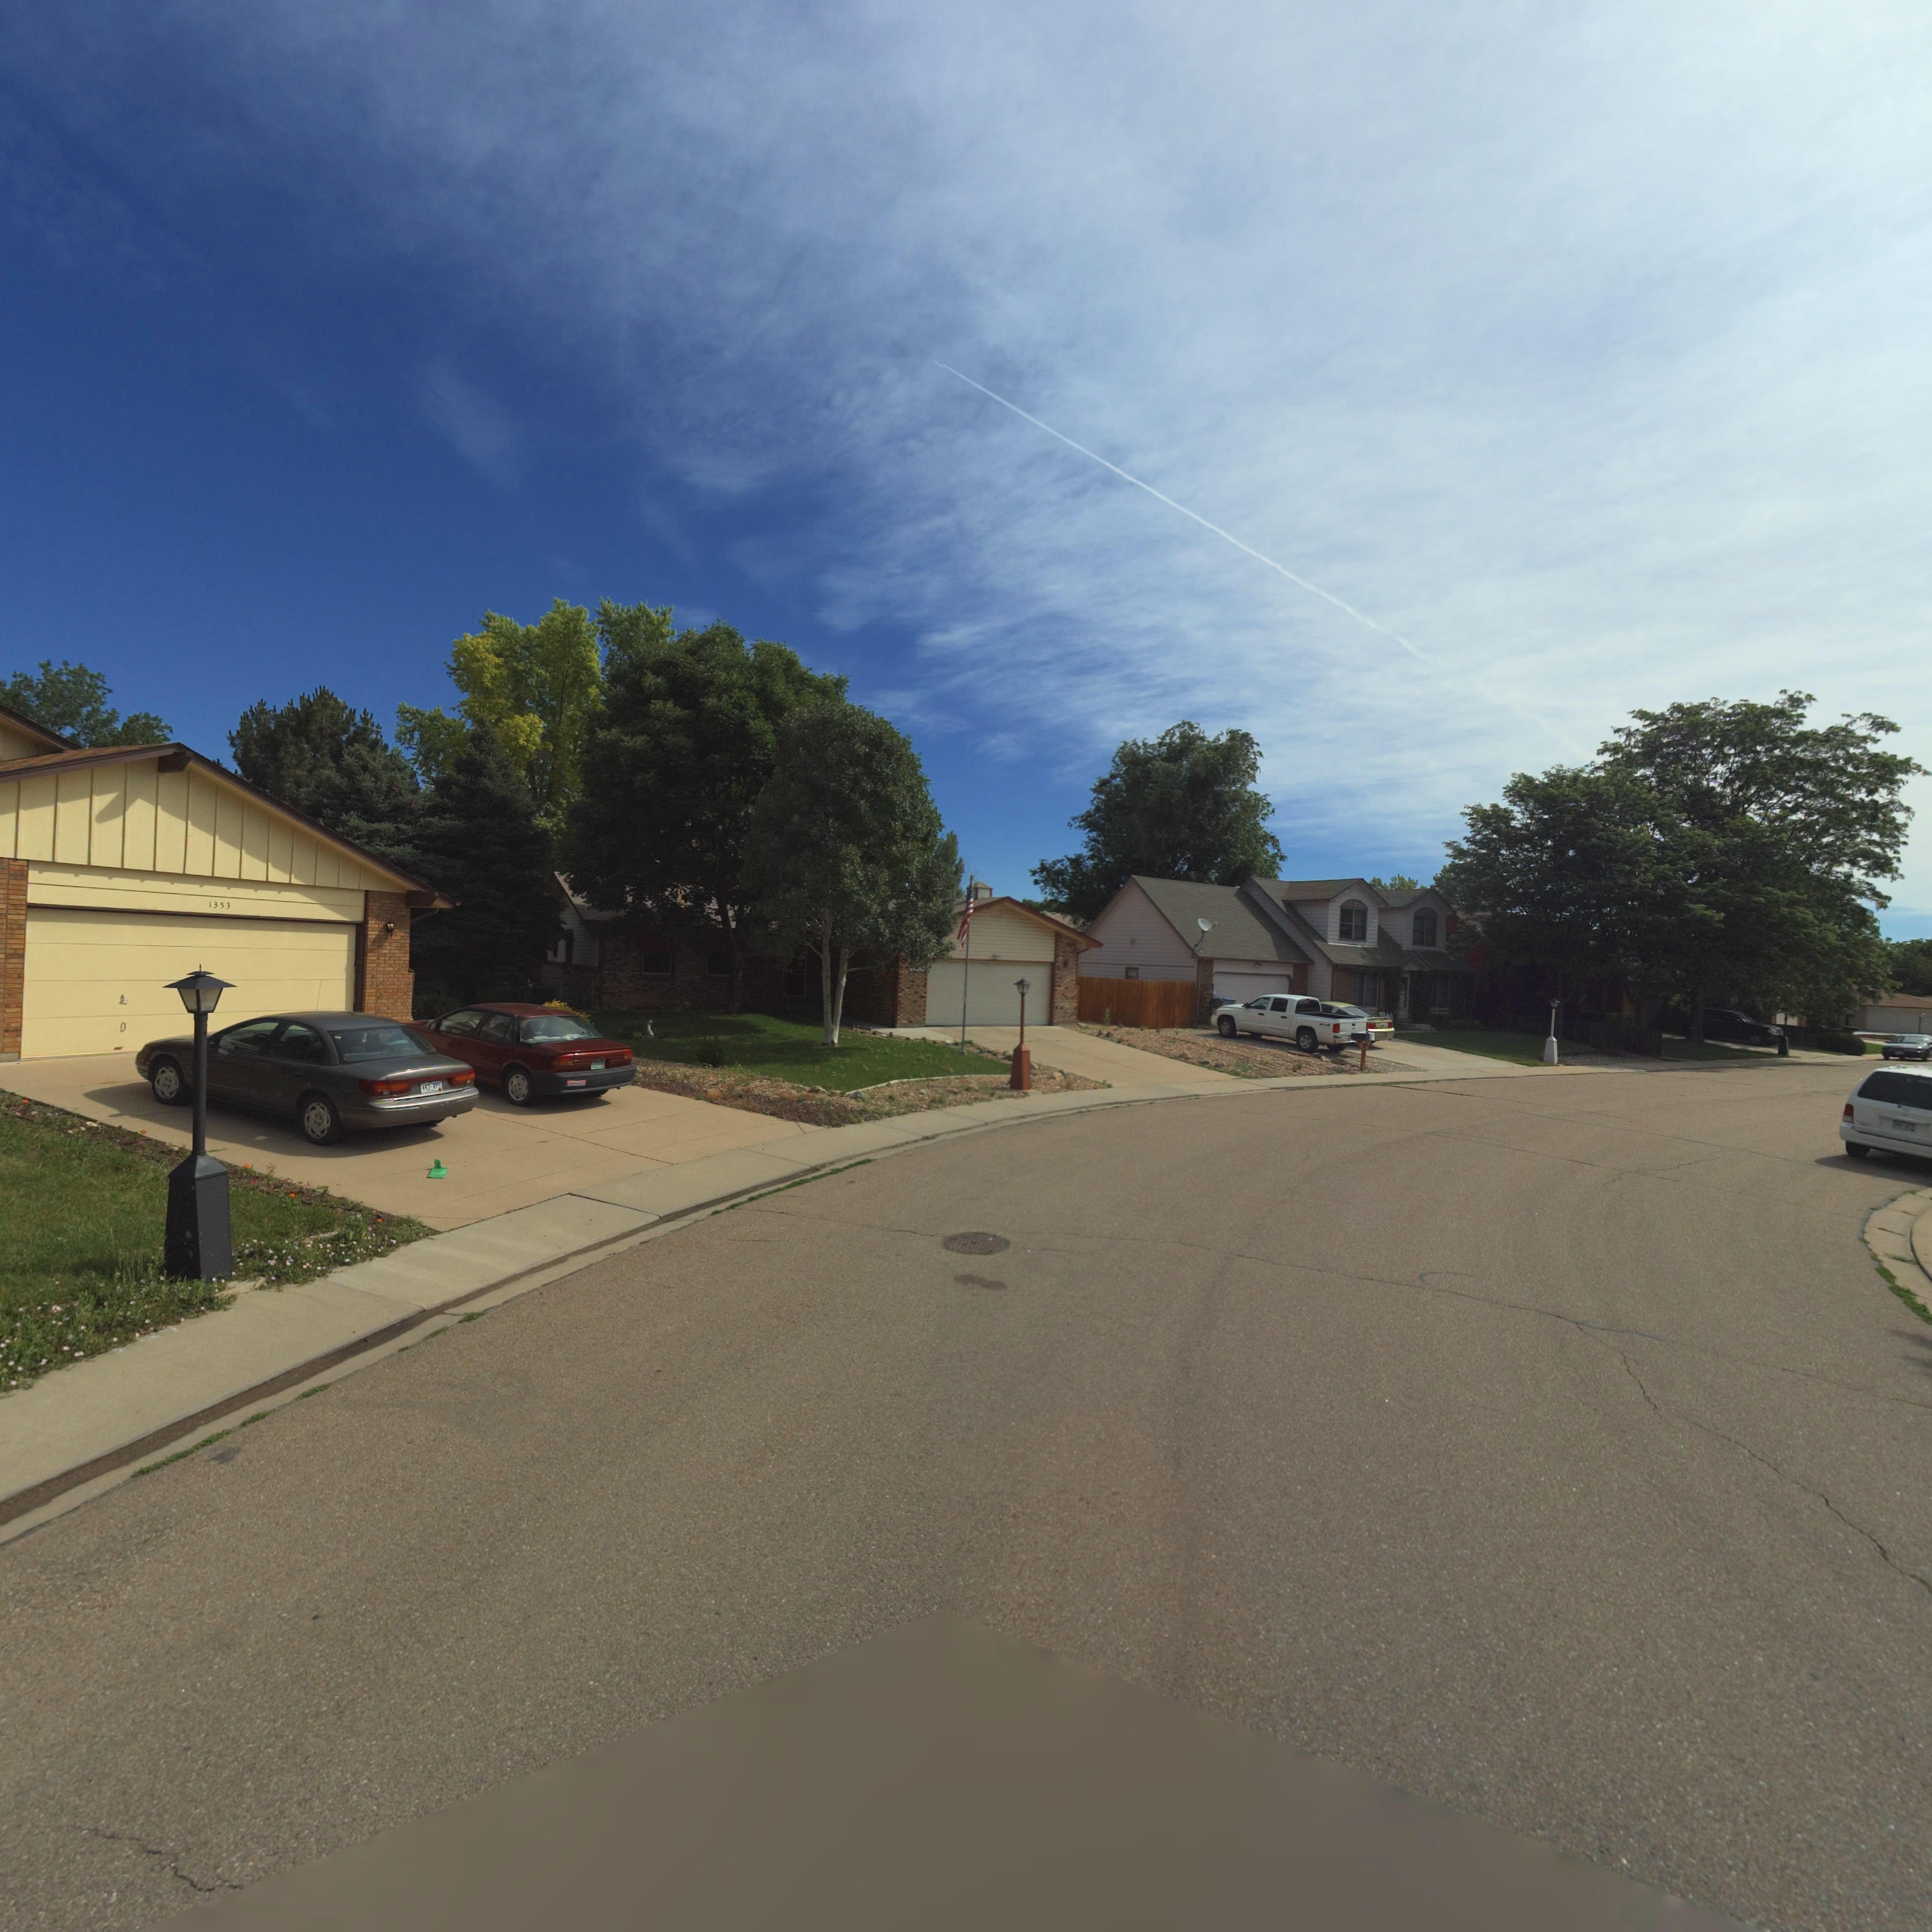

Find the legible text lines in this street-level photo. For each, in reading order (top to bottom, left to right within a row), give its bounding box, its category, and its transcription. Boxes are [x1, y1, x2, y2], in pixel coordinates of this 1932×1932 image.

[209, 900, 231, 910] StreetNumber: 1353